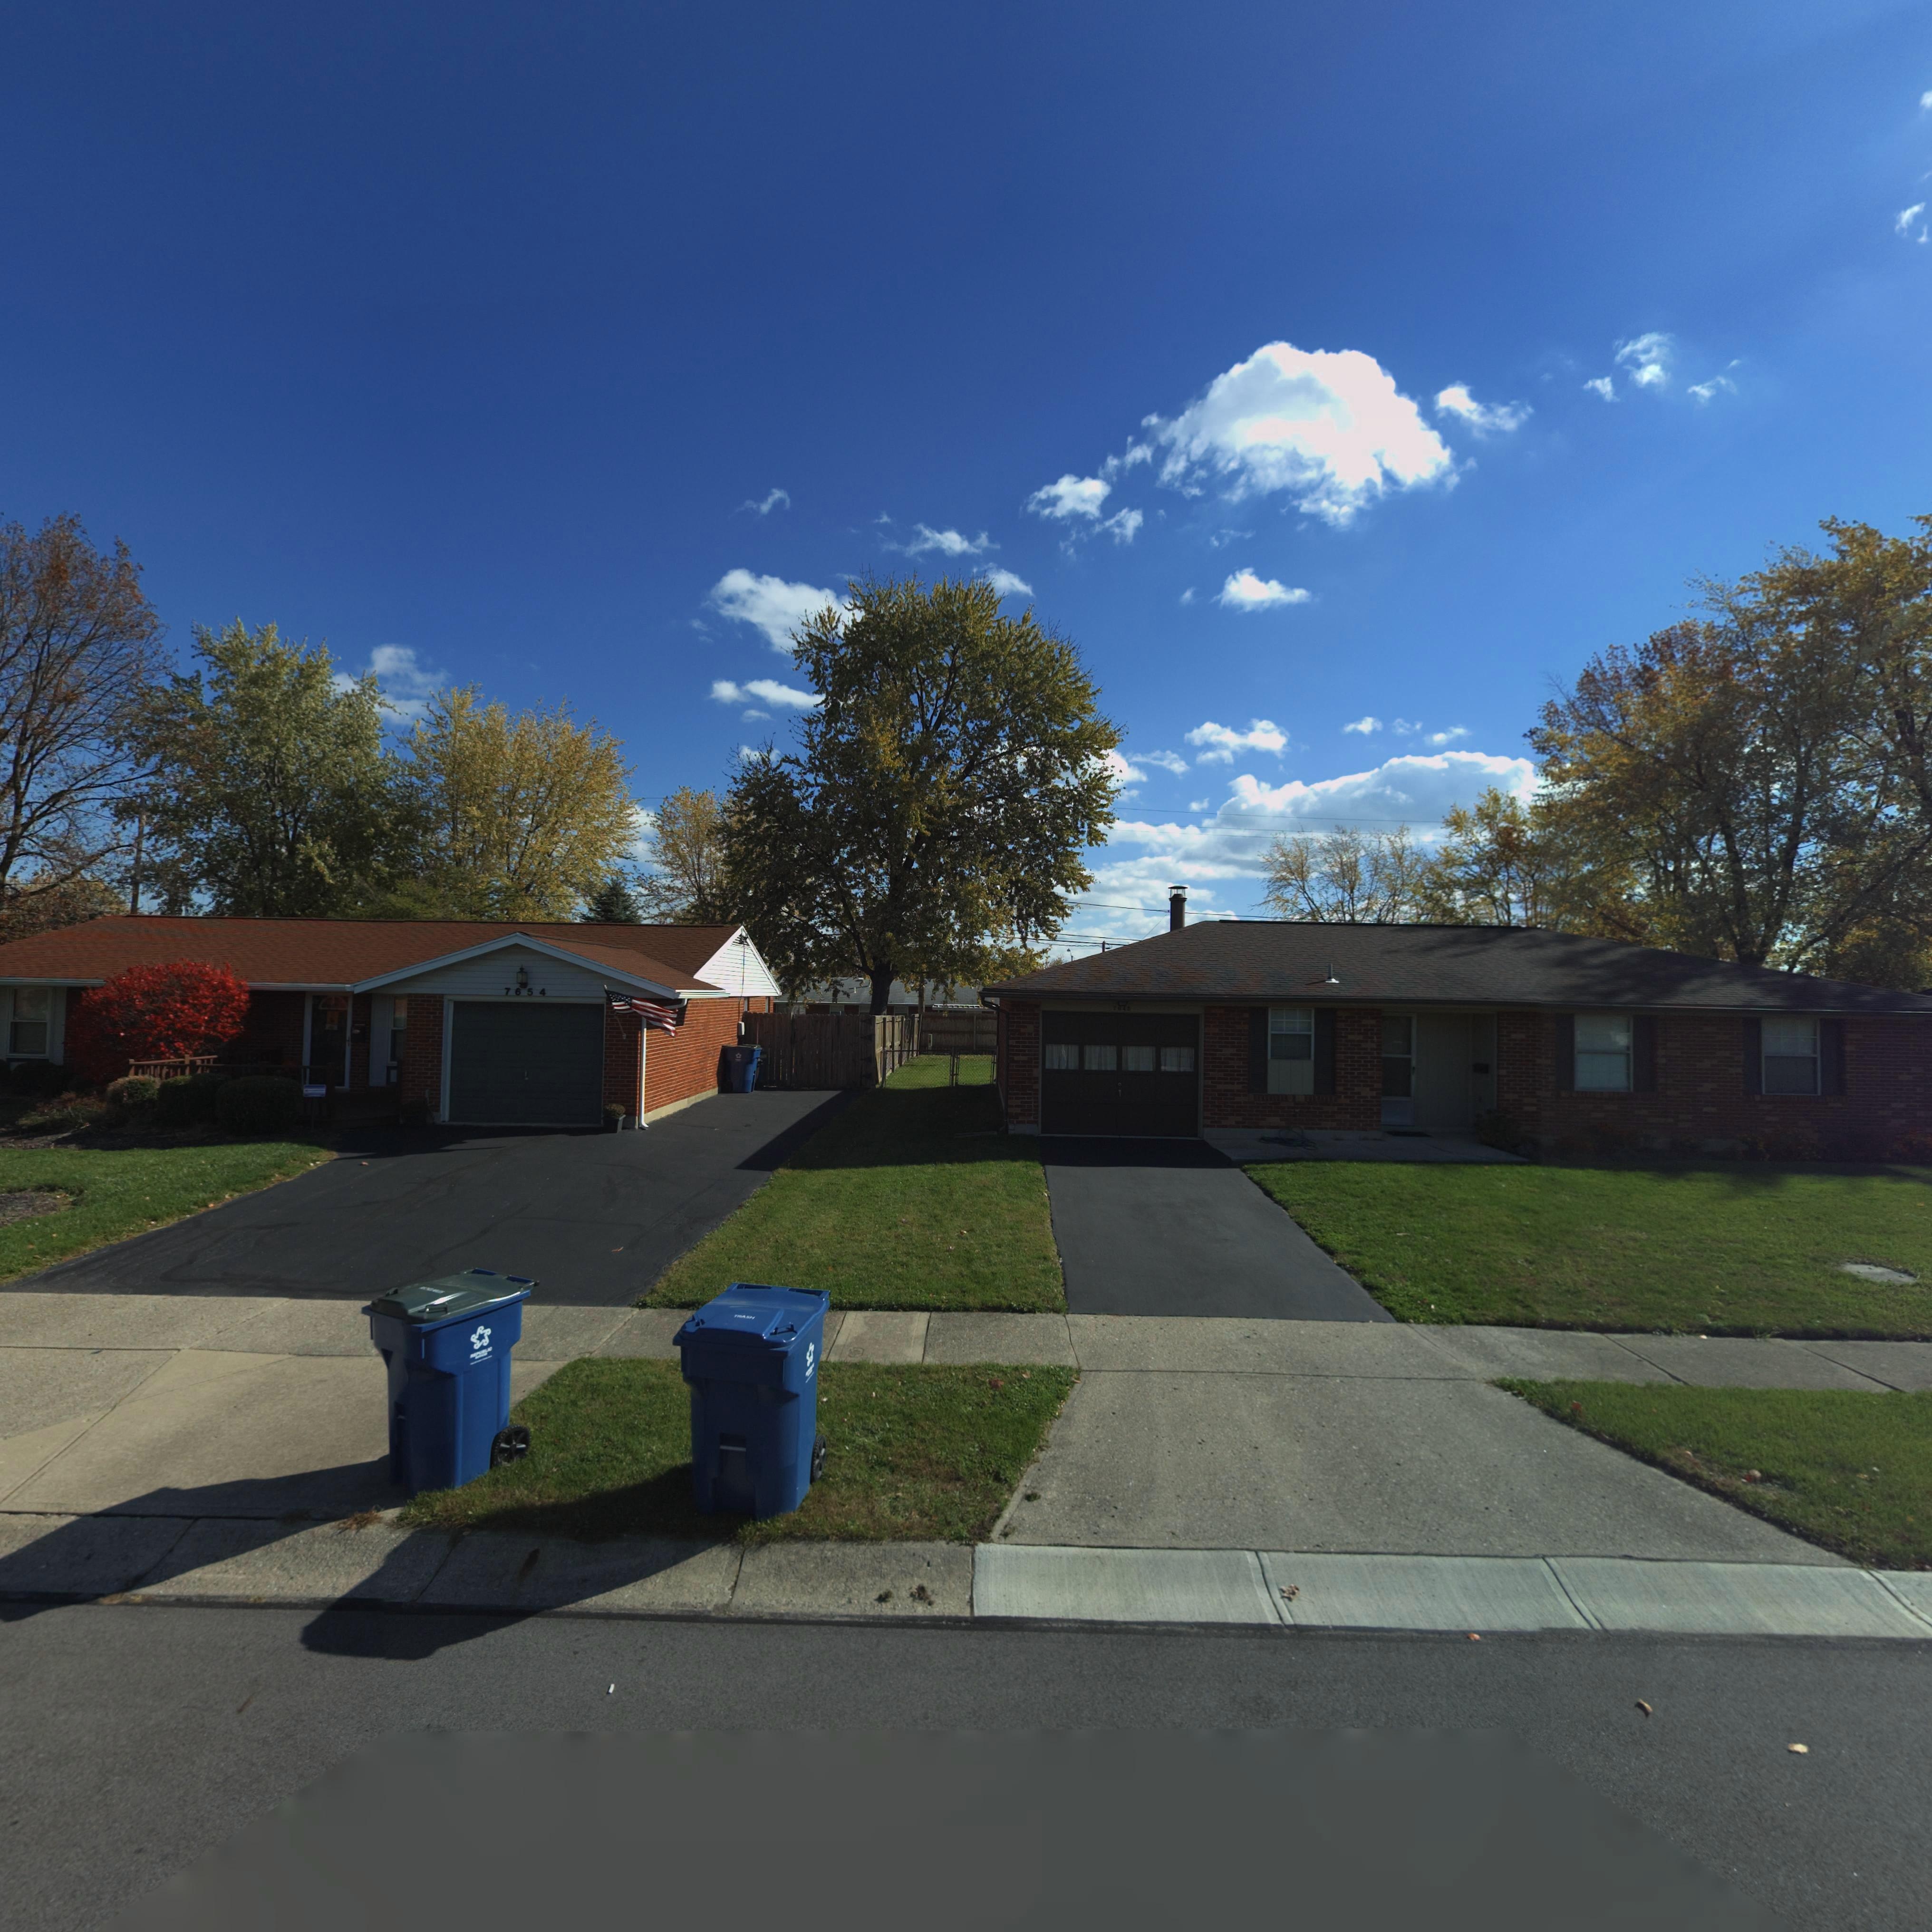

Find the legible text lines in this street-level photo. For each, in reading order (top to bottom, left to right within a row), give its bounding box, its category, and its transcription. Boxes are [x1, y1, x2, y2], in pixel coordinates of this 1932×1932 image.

[503, 986, 547, 997] StreetNumber: 7654
[1112, 1005, 1131, 1012] StreetNumber: **4*